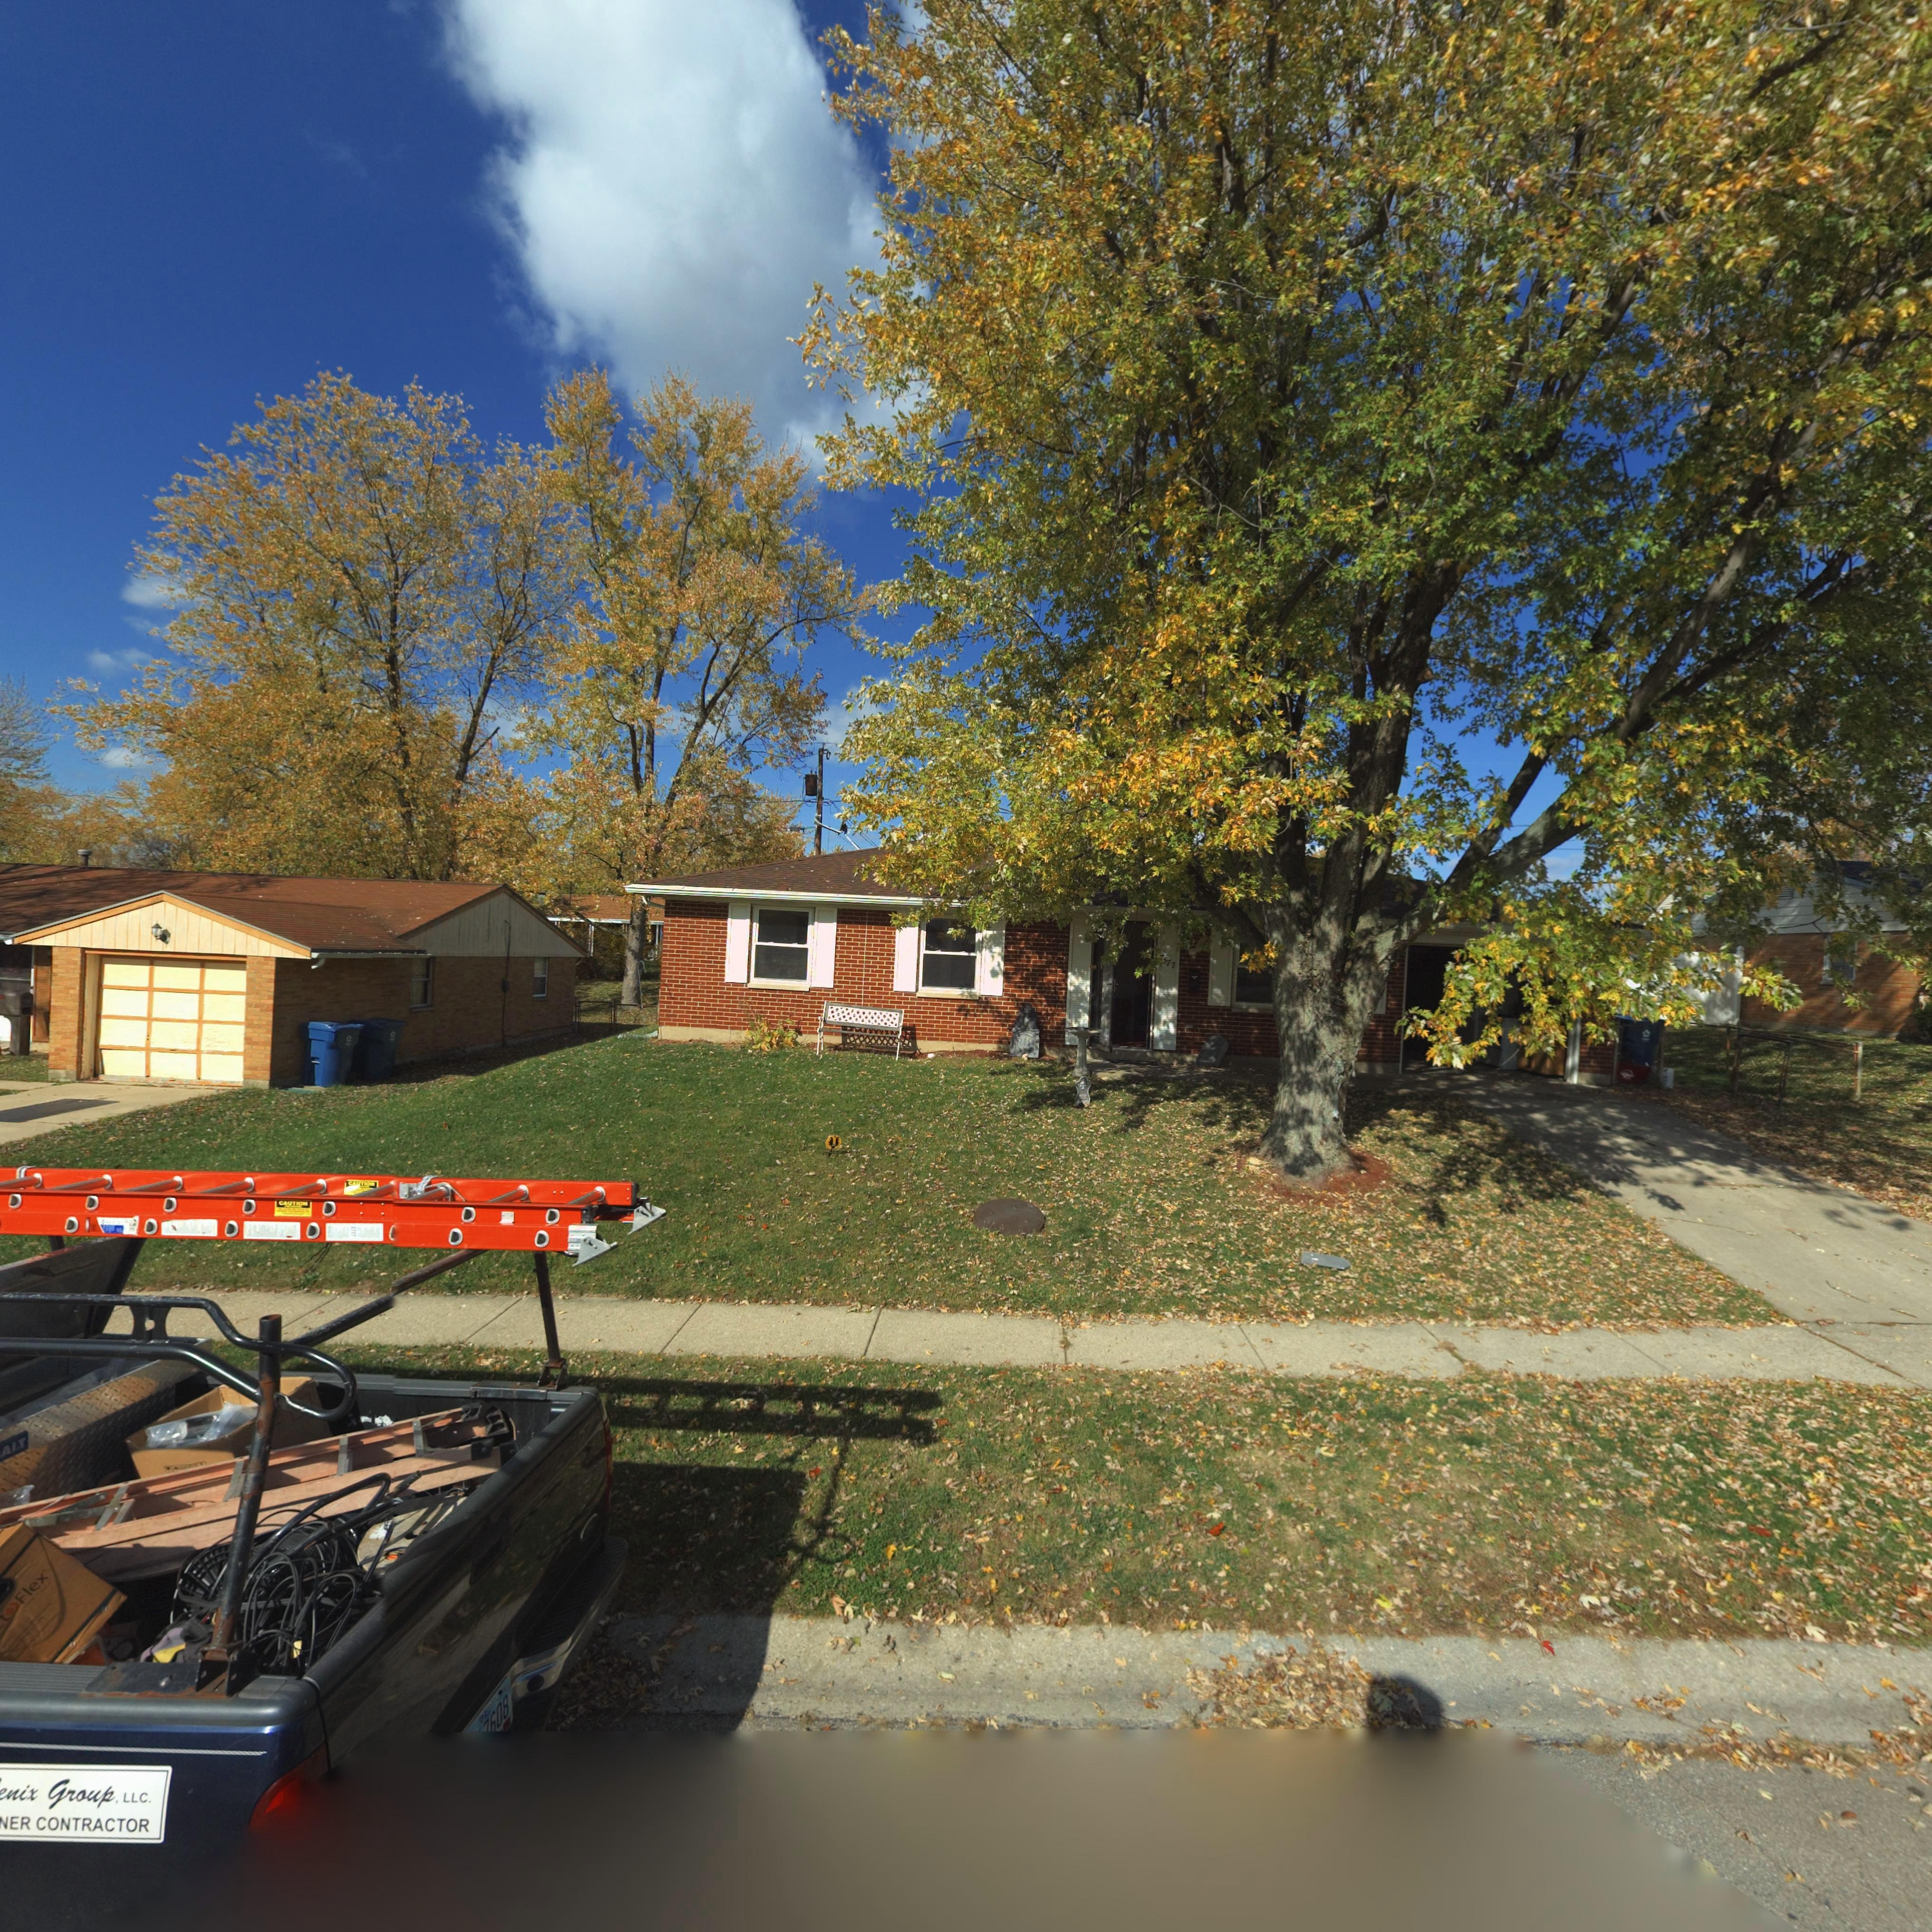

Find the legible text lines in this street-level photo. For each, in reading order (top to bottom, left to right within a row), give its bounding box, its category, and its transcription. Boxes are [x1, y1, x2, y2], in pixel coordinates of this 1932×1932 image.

[1159, 954, 1176, 969] StreetNumber: 7577
[4, 1777, 152, 1810] None: nix Group, LLC.